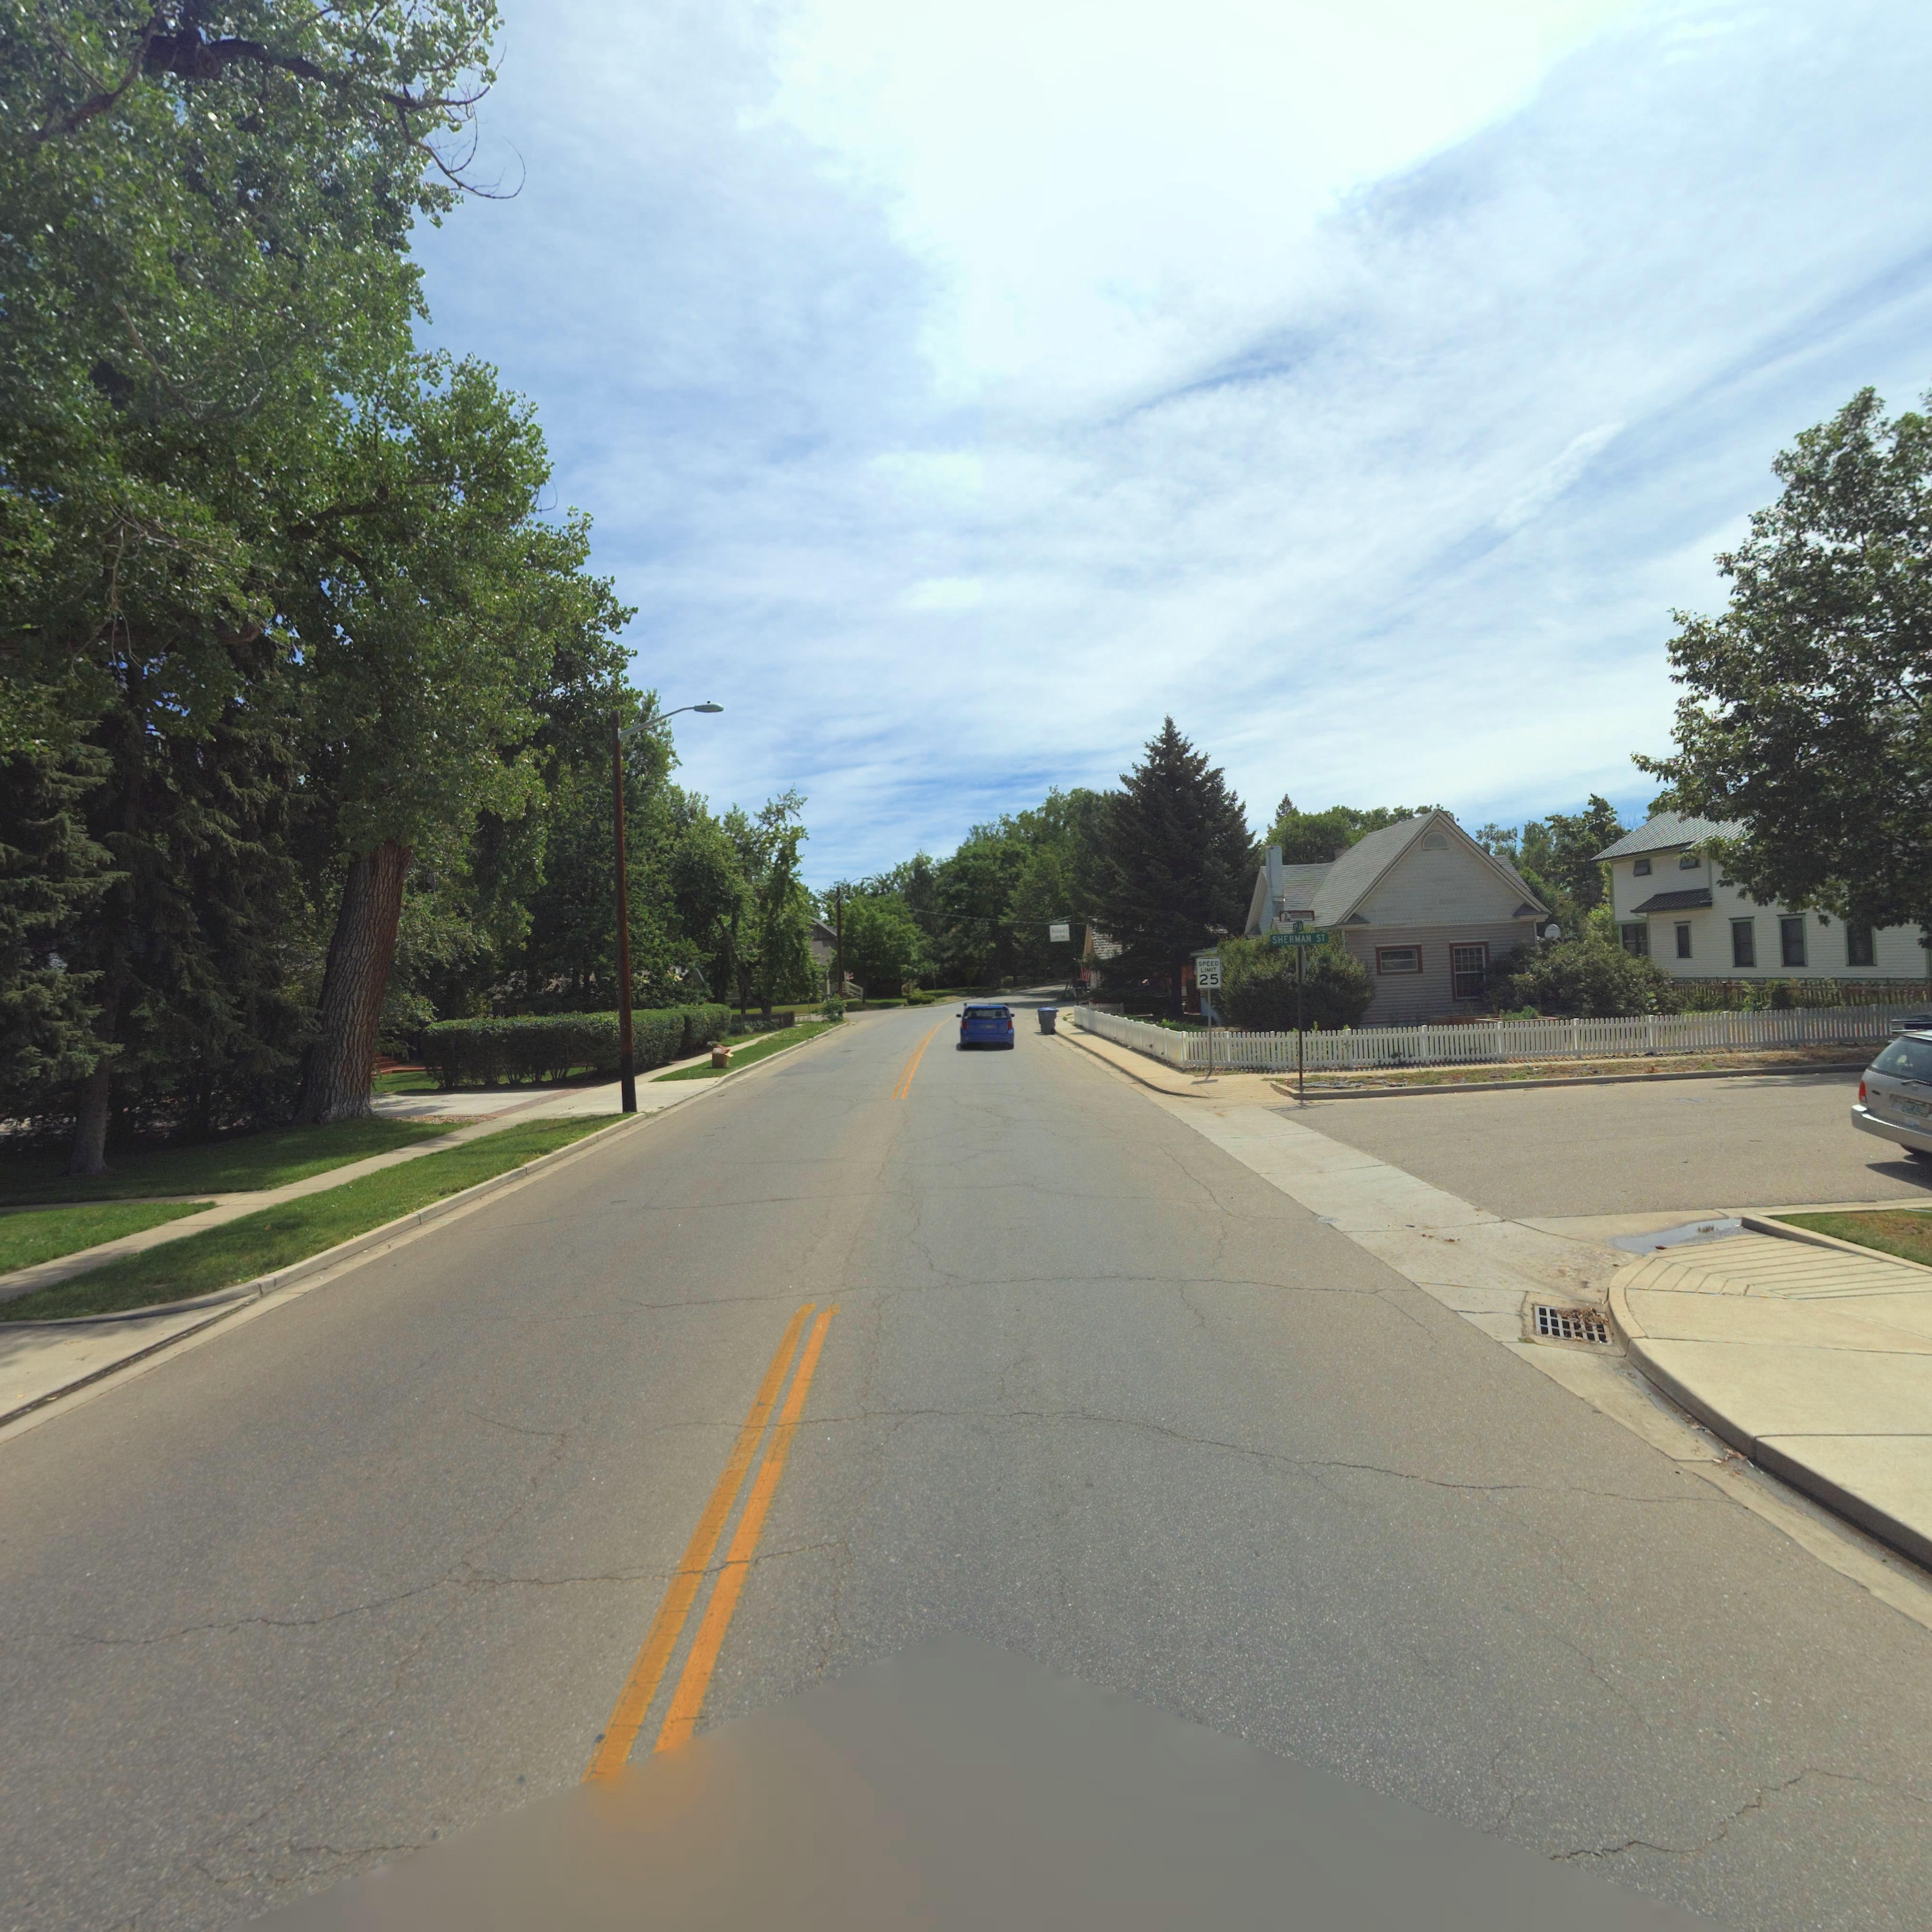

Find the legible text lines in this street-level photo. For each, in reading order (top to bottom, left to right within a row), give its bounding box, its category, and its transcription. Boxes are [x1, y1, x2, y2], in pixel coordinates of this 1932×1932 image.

[1293, 922, 1302, 932] StreetName: 3** A*
[1272, 934, 1325, 944] StreetName: SHERMAN ST